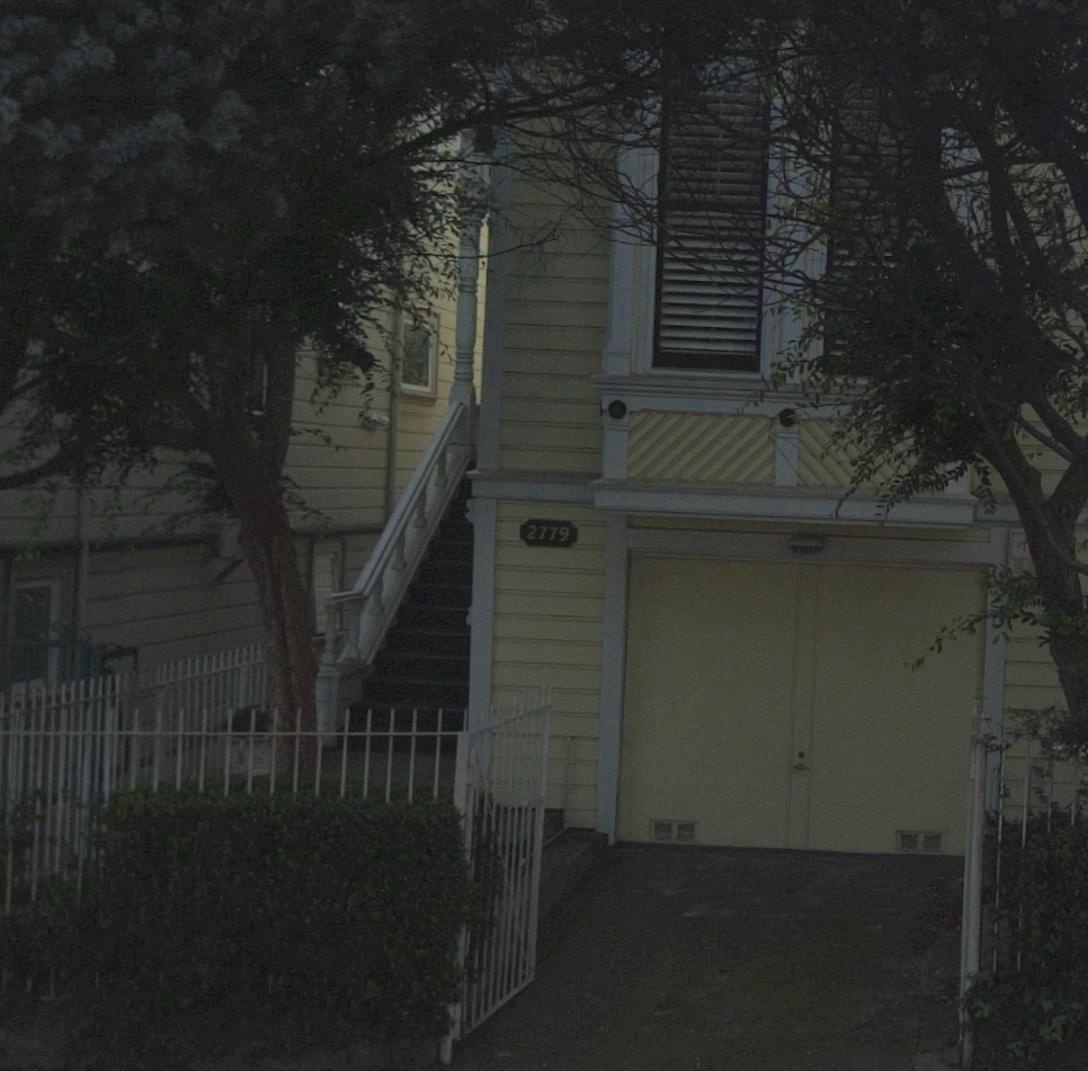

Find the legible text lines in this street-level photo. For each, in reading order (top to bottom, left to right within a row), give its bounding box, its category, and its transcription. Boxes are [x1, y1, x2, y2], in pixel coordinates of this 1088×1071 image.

[523, 521, 573, 544] StreetNumber: 2779